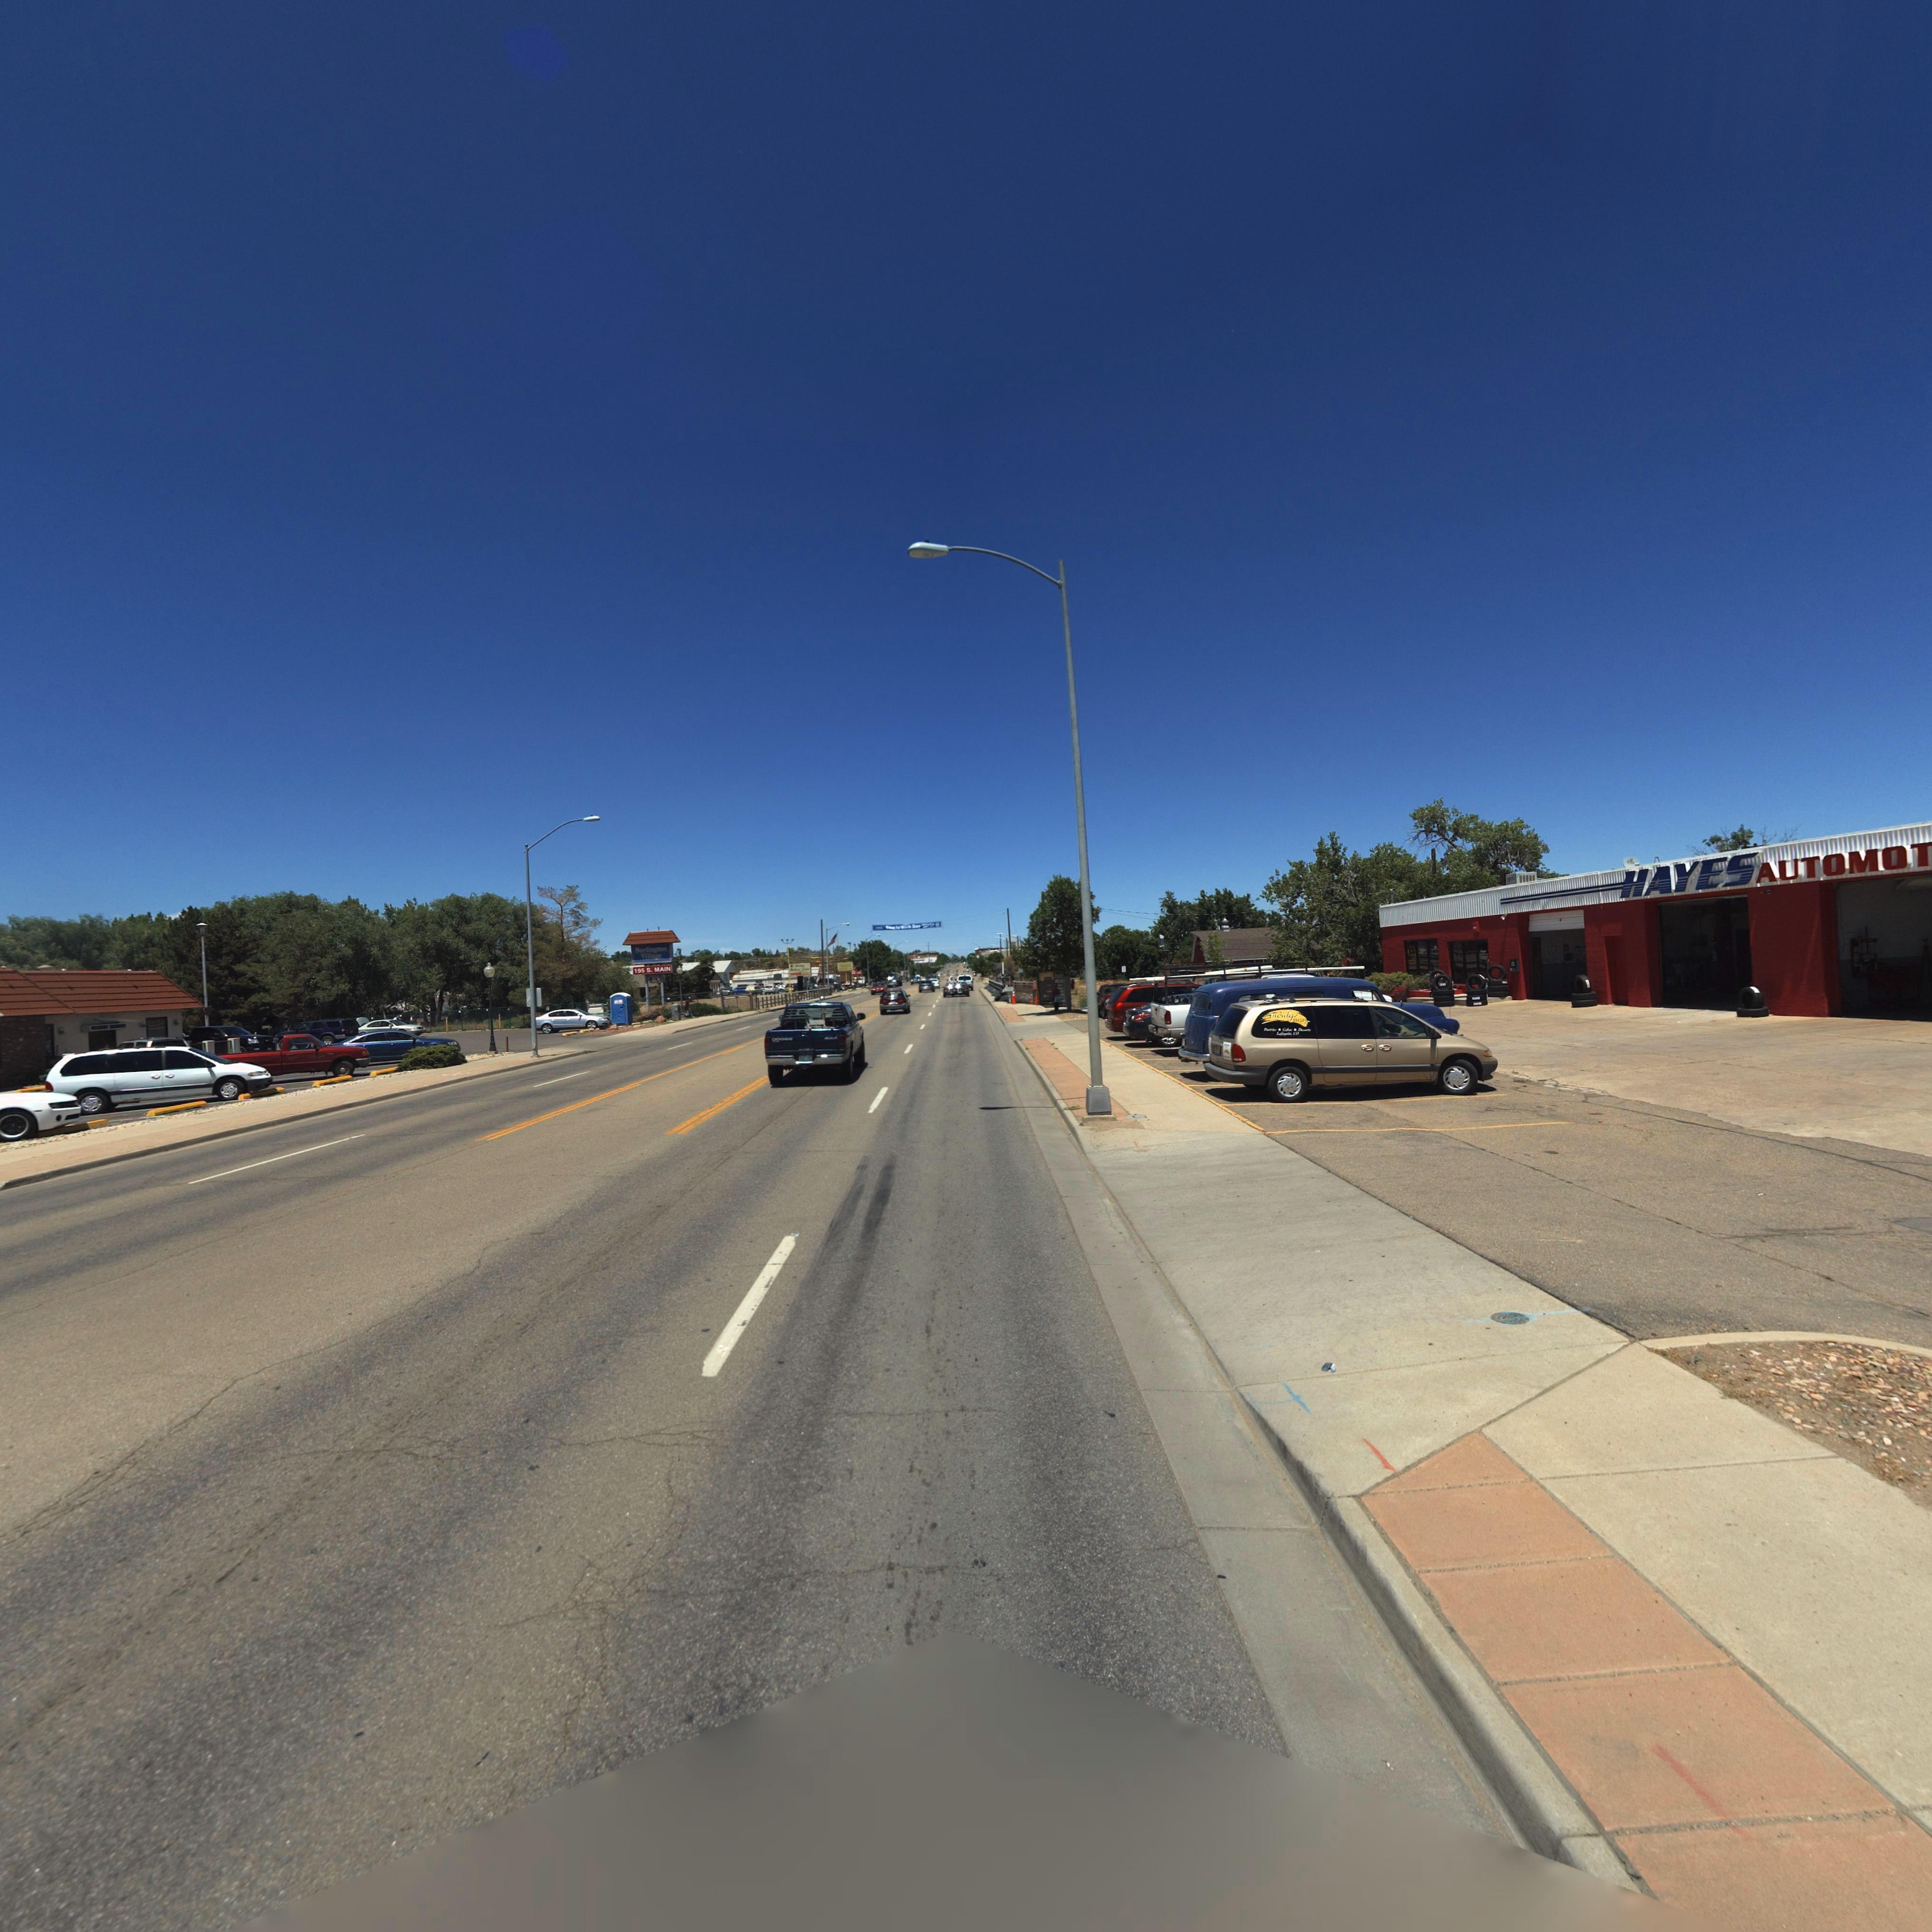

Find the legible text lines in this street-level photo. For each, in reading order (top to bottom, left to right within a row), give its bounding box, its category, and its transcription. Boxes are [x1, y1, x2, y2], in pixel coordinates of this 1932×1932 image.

[1620, 851, 1760, 898] BusinessName: HAYES
[1755, 842, 1932, 883] BusinessName: AUTOMOT
[634, 968, 645, 974] StreetNumber: 195
[646, 966, 670, 973] StreetName: S. MAIN